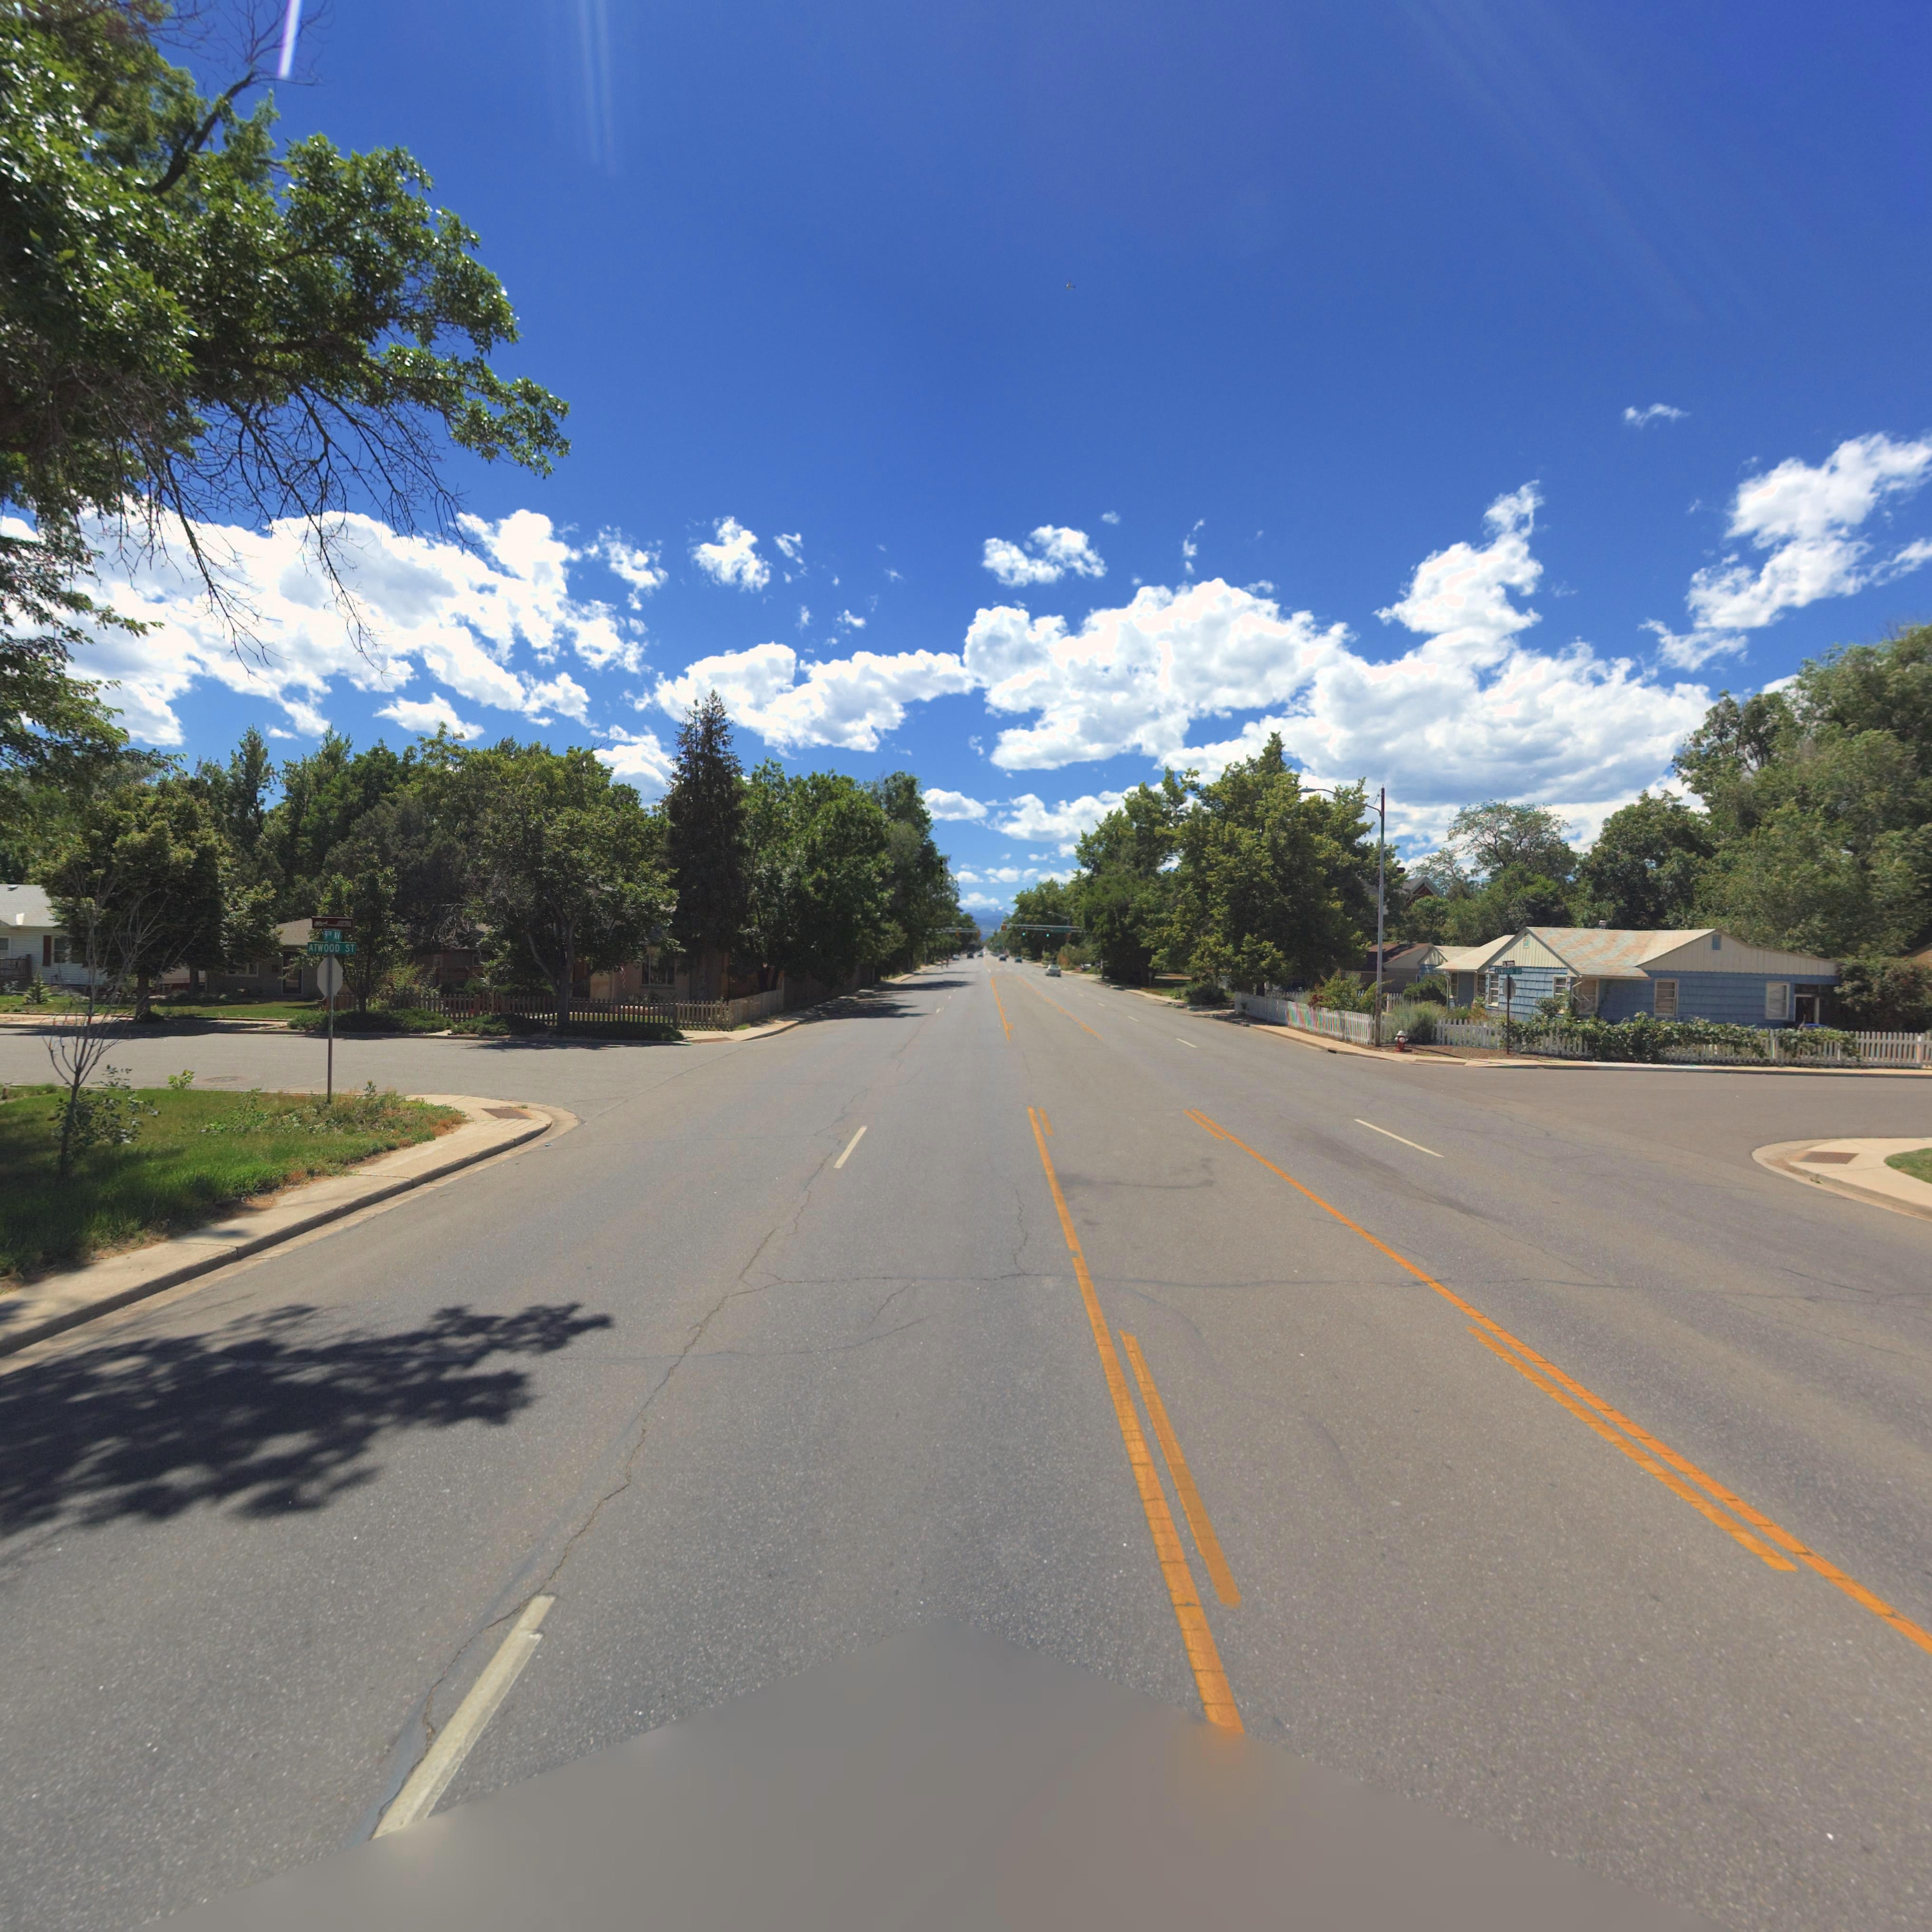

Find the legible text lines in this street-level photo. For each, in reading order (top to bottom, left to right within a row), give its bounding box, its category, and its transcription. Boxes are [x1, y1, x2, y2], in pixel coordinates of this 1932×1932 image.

[324, 930, 340, 940] StreetName: 9TH AV
[308, 943, 355, 952] StreetName: ATWOOD ST
[1495, 968, 1521, 974] StreetName: ATWOOD ST